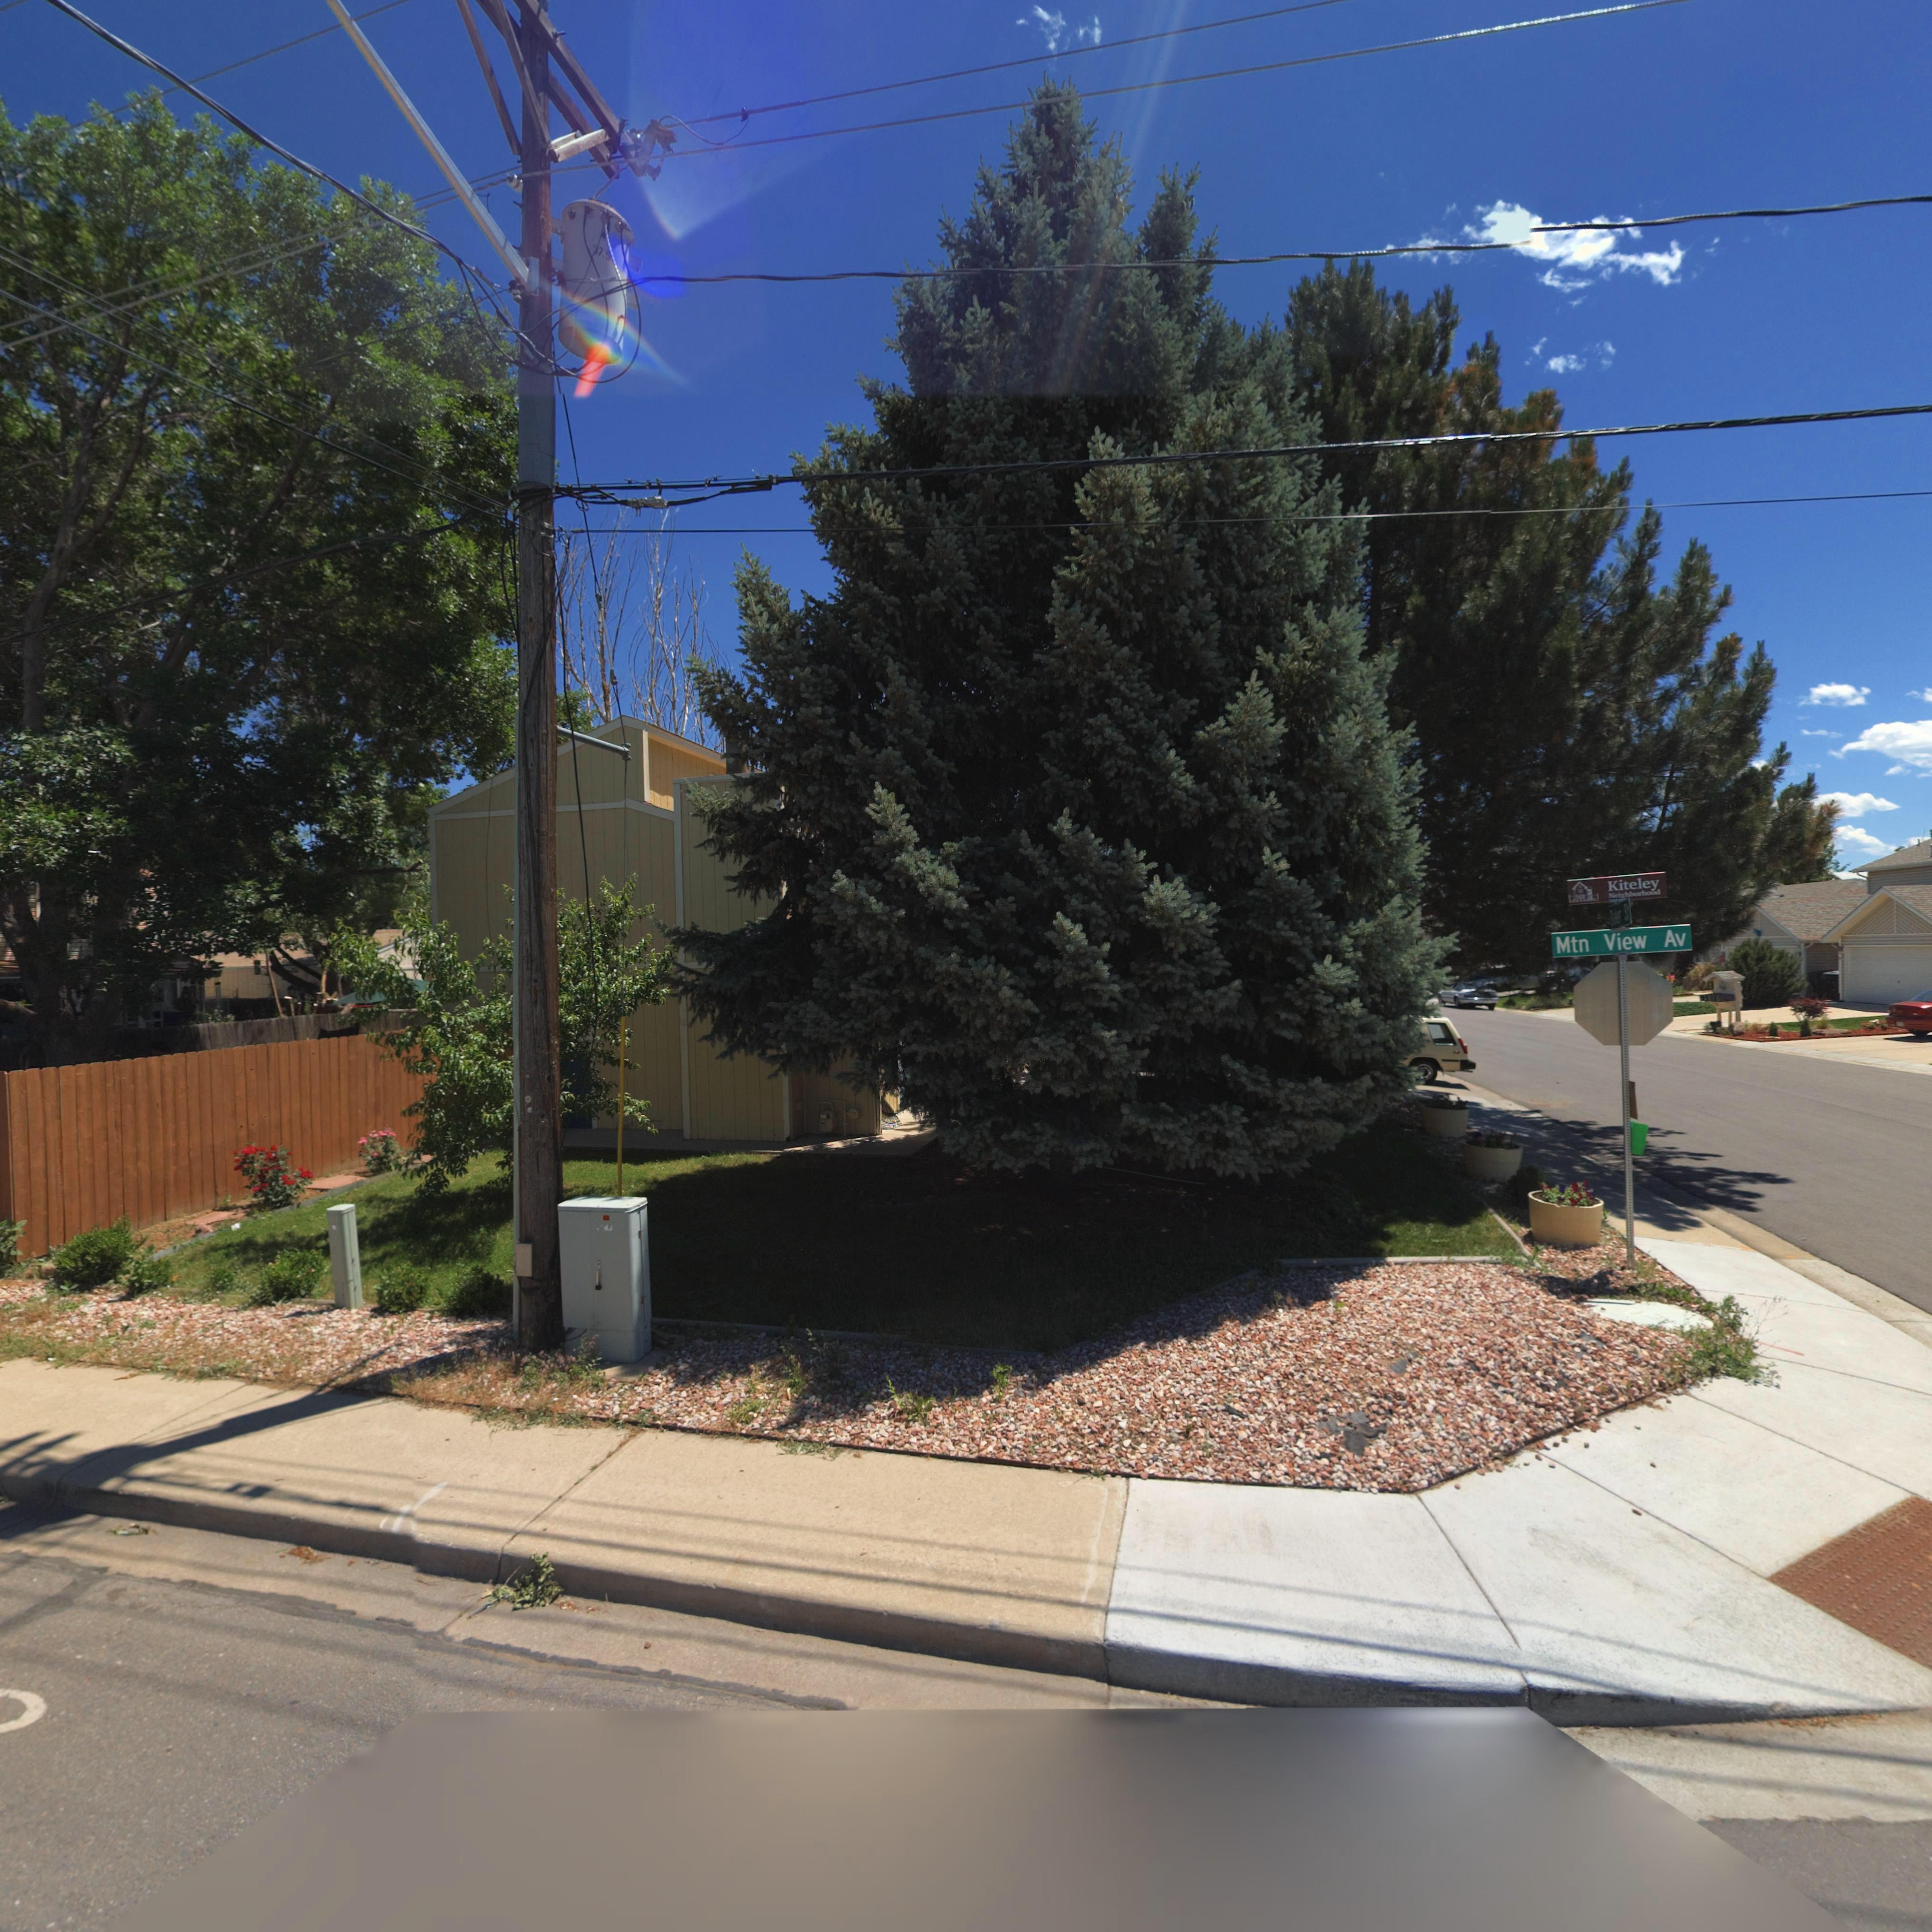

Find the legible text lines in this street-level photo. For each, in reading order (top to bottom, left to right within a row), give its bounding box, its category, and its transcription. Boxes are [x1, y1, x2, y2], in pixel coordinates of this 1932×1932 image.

[1555, 928, 1688, 954] StreetName: Mtn View Av